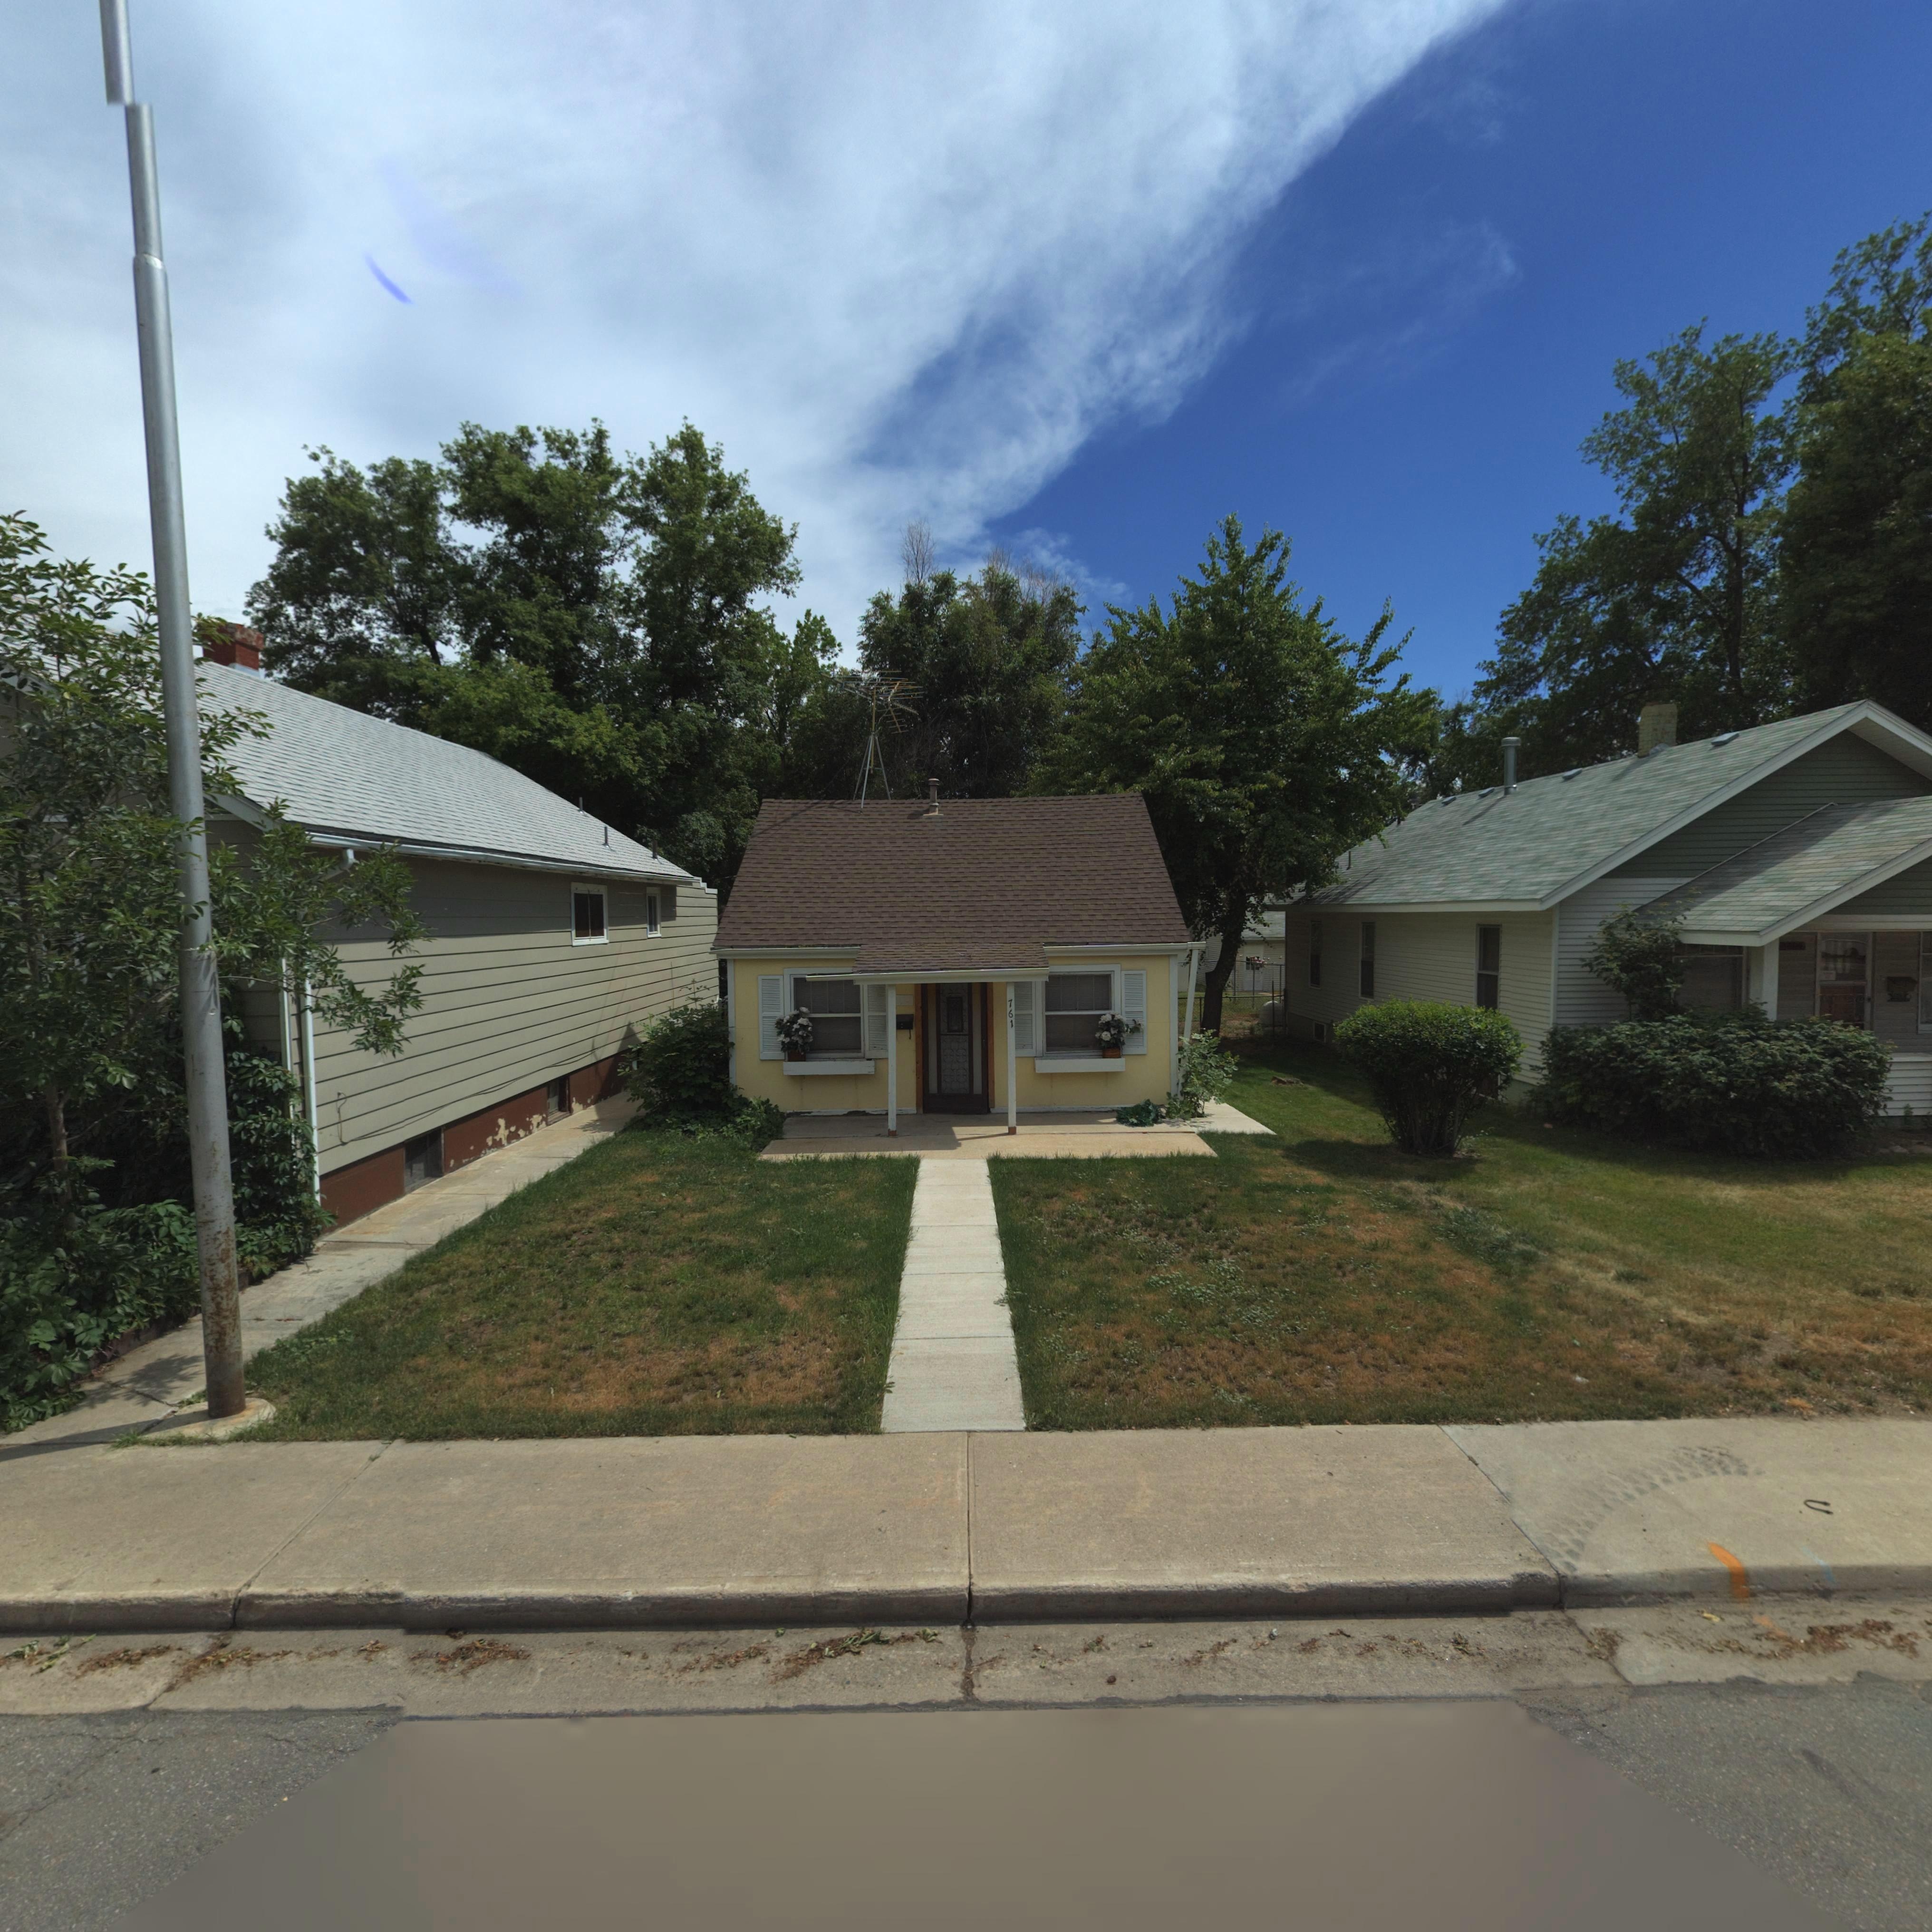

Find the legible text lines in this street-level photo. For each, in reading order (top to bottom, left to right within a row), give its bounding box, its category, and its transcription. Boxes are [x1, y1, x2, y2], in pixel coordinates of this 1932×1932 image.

[1008, 999, 1014, 1028] StreetNumber: 761